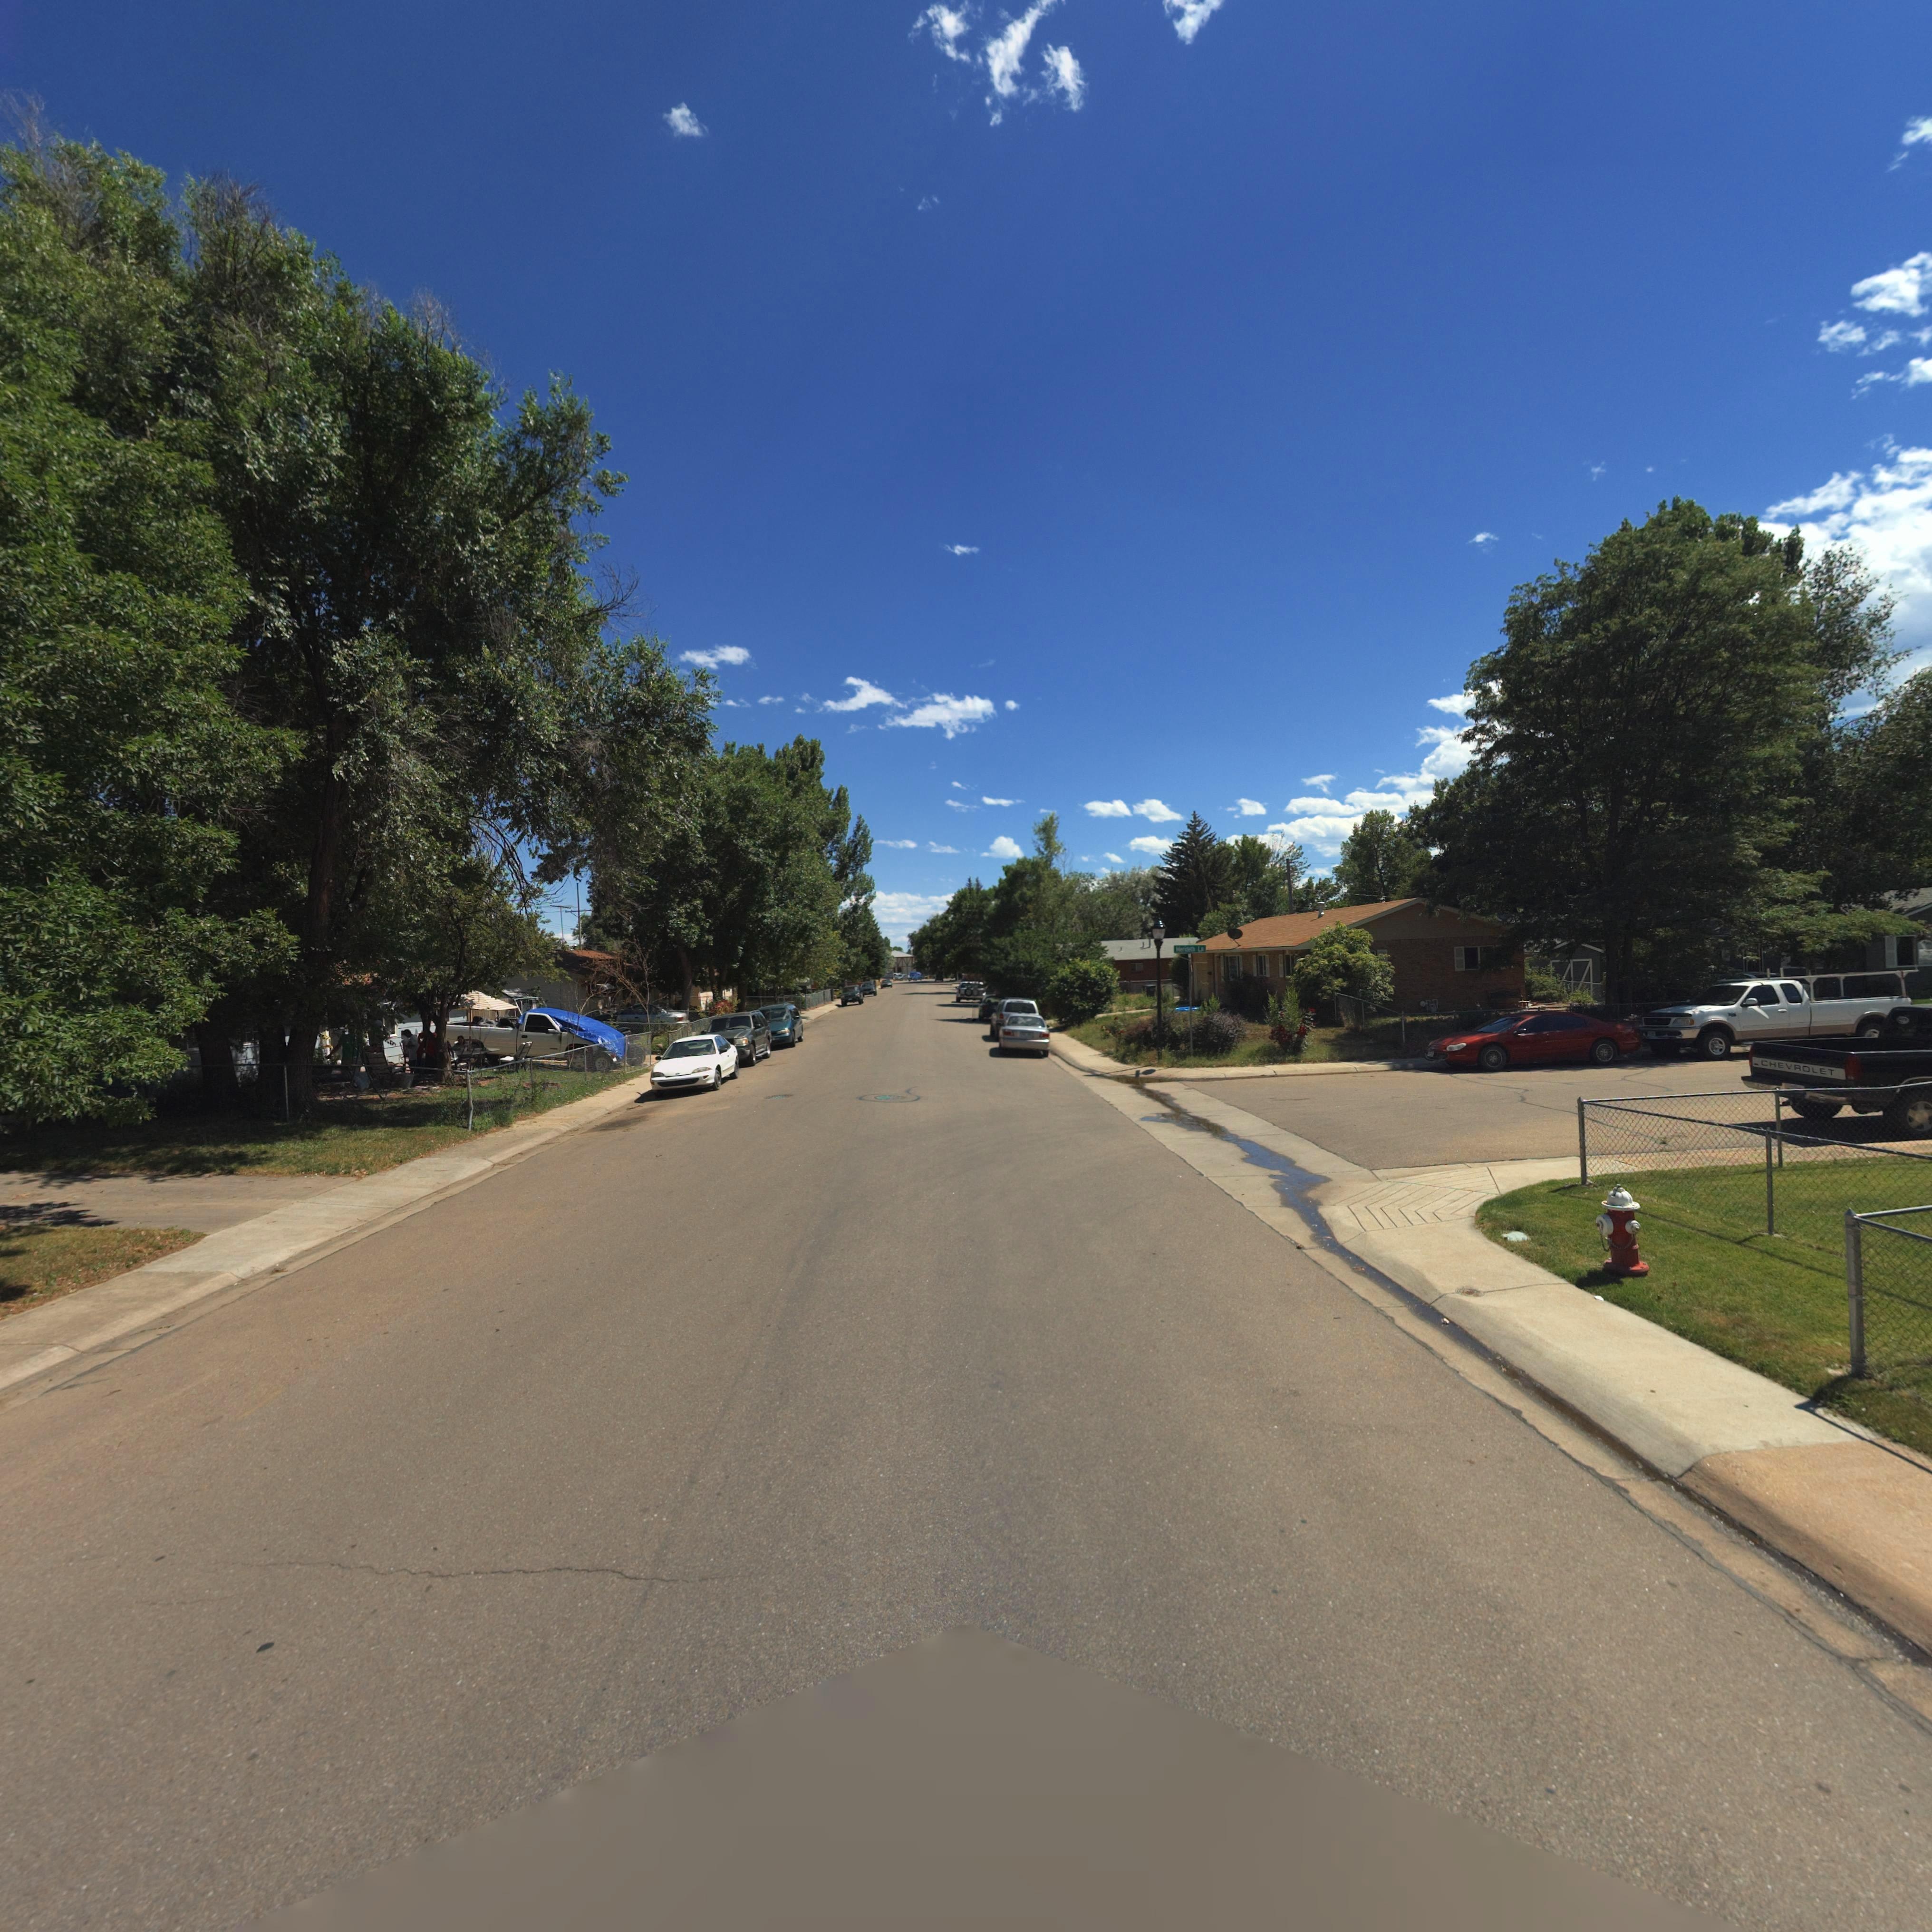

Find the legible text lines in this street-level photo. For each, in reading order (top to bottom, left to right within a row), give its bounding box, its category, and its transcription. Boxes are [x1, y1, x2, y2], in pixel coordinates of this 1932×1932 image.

[1175, 945, 1204, 952] StreetName: Merideth Ln